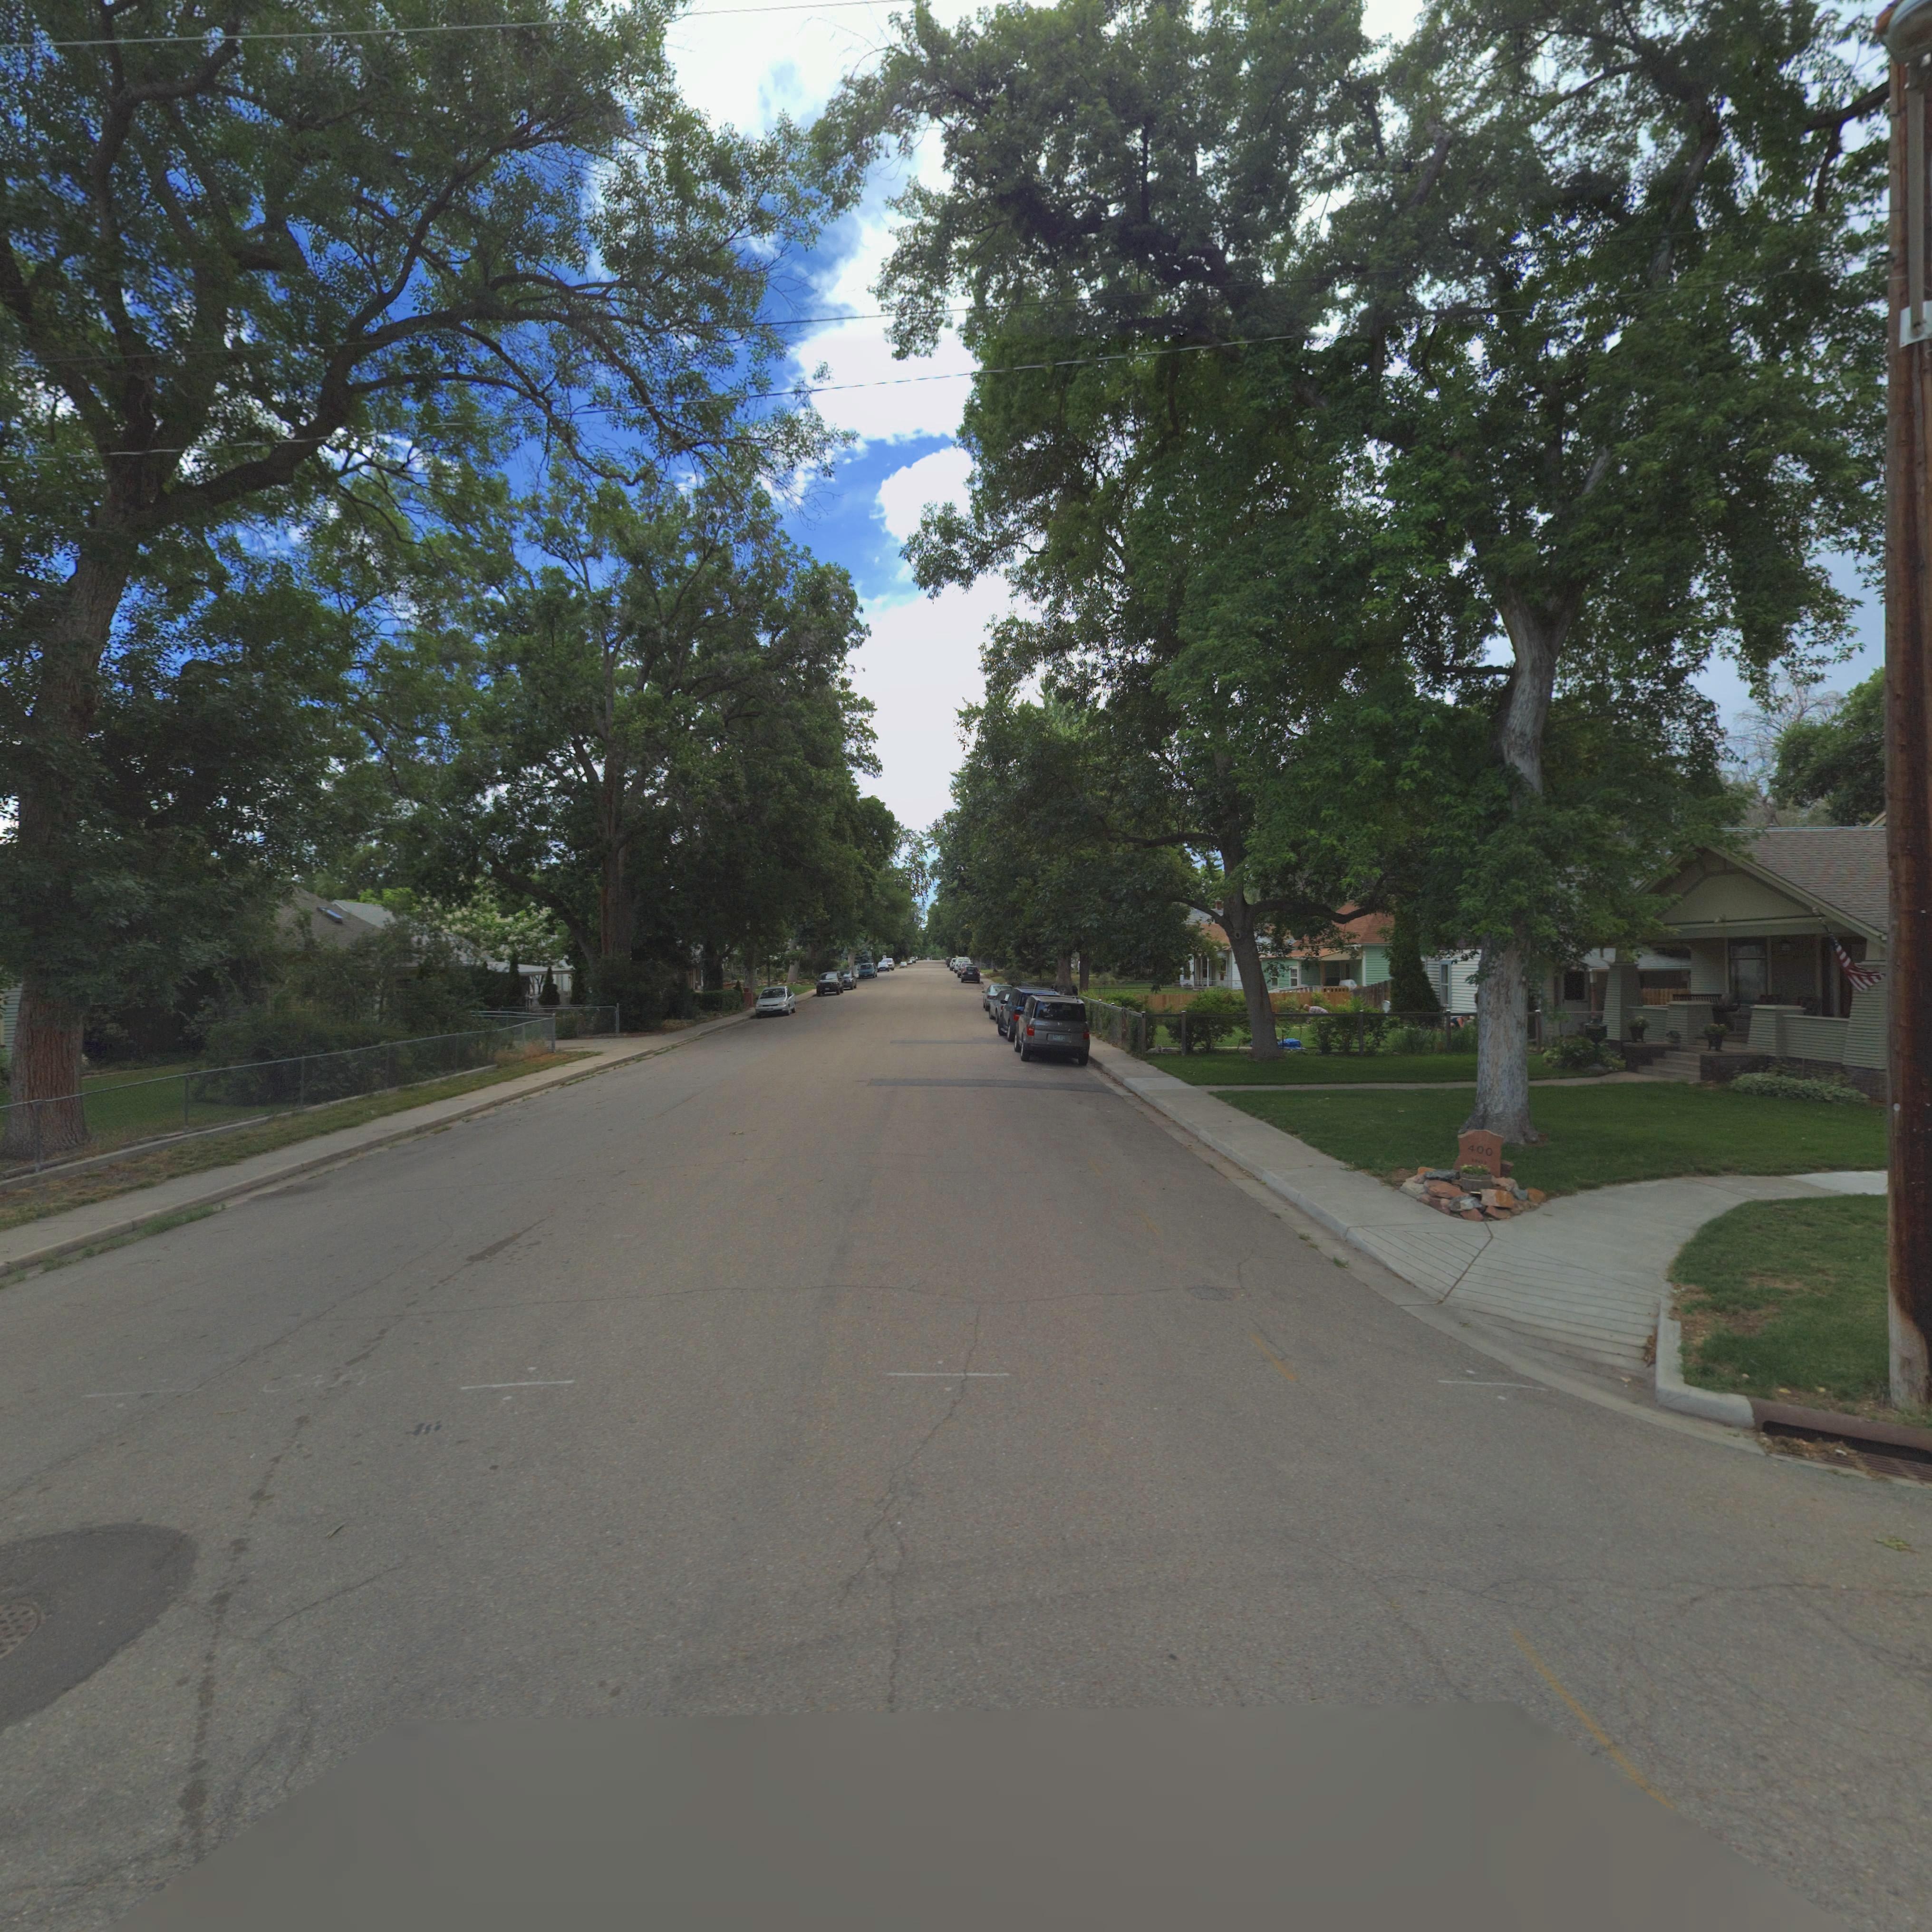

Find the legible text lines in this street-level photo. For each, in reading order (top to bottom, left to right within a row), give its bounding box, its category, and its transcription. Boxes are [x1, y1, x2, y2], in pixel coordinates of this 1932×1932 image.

[1467, 1145, 1493, 1156] StreetNumber: 400